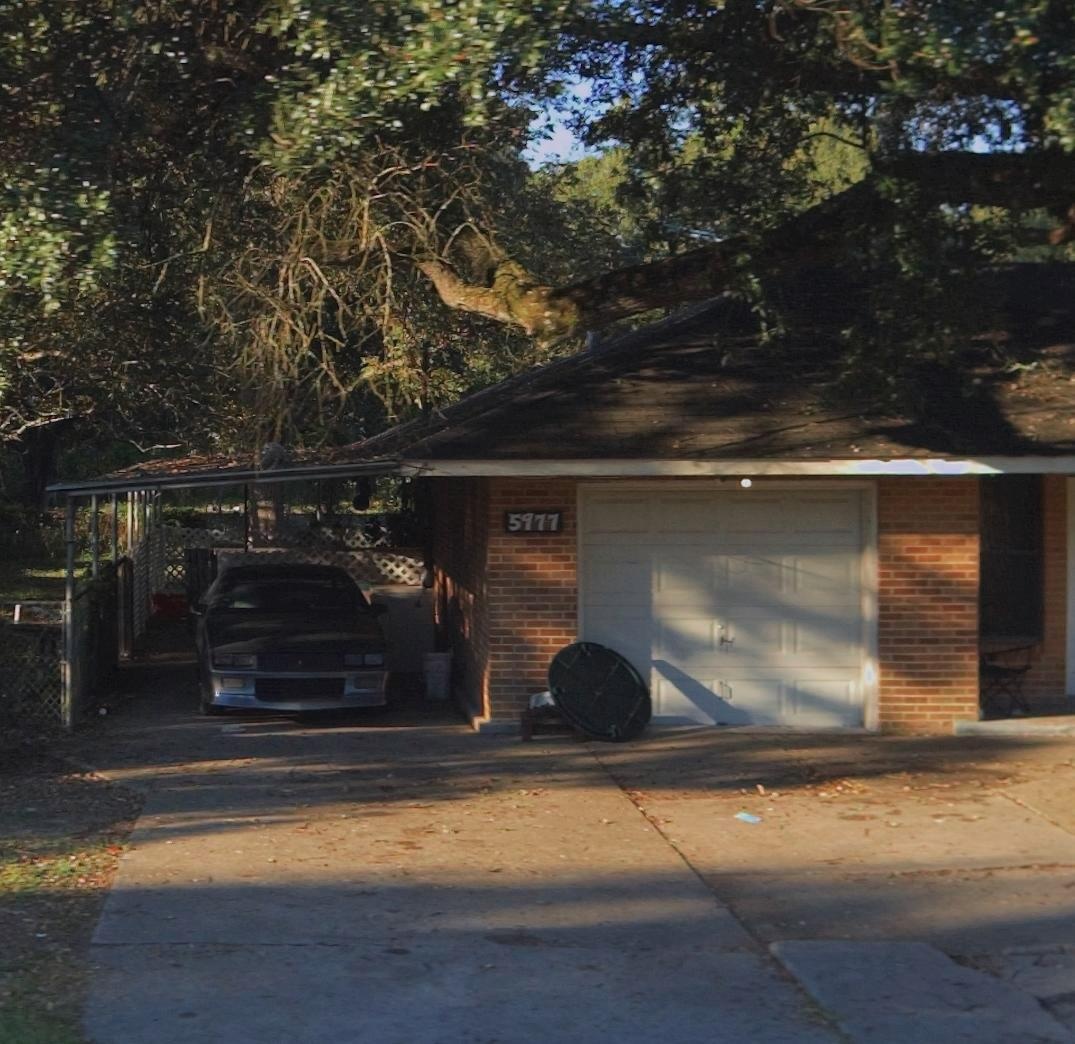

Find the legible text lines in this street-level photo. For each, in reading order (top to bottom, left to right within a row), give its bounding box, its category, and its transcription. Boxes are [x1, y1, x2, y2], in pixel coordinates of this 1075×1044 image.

[507, 512, 559, 531] StreetNumber: 5977